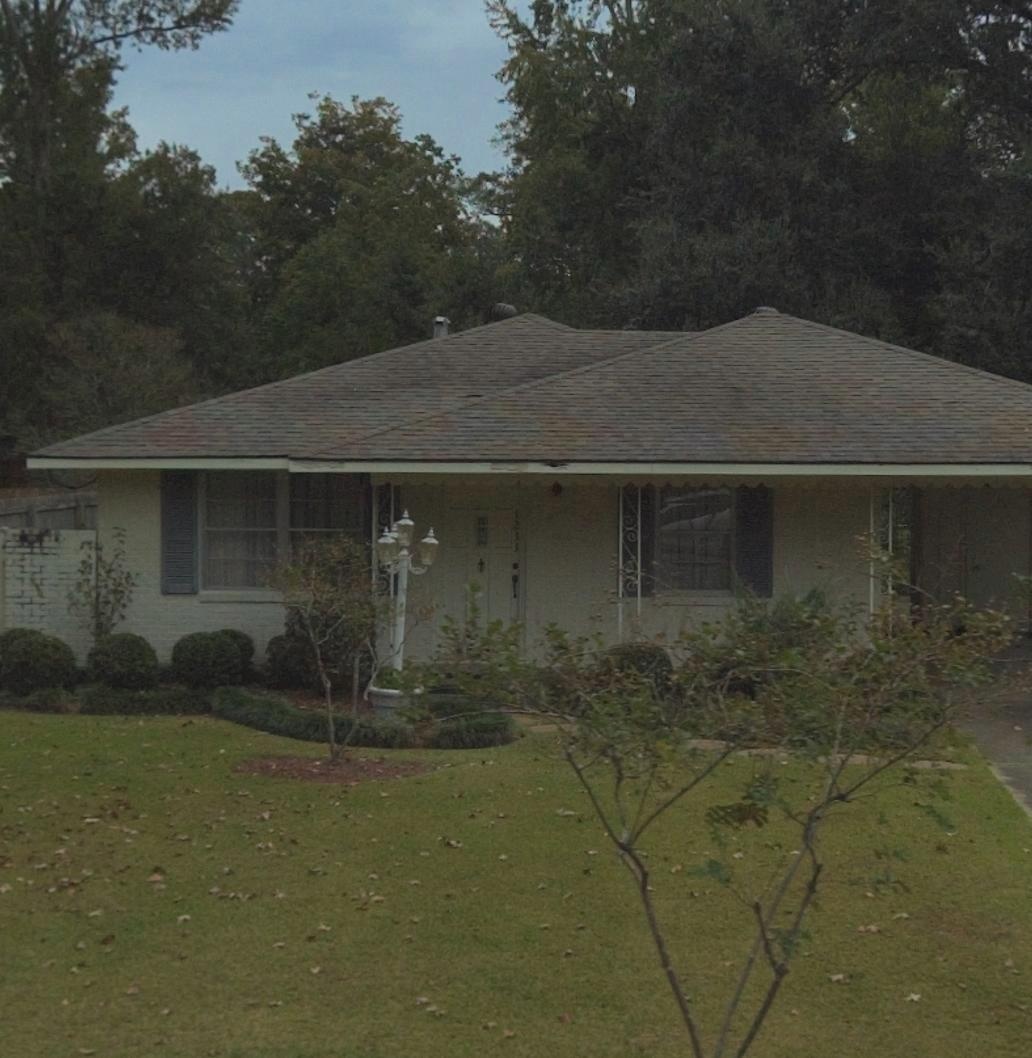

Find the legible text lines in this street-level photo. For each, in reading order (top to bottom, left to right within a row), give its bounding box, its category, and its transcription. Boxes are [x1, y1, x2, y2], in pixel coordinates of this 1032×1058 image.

[512, 507, 520, 554] StreetNumber: 1233